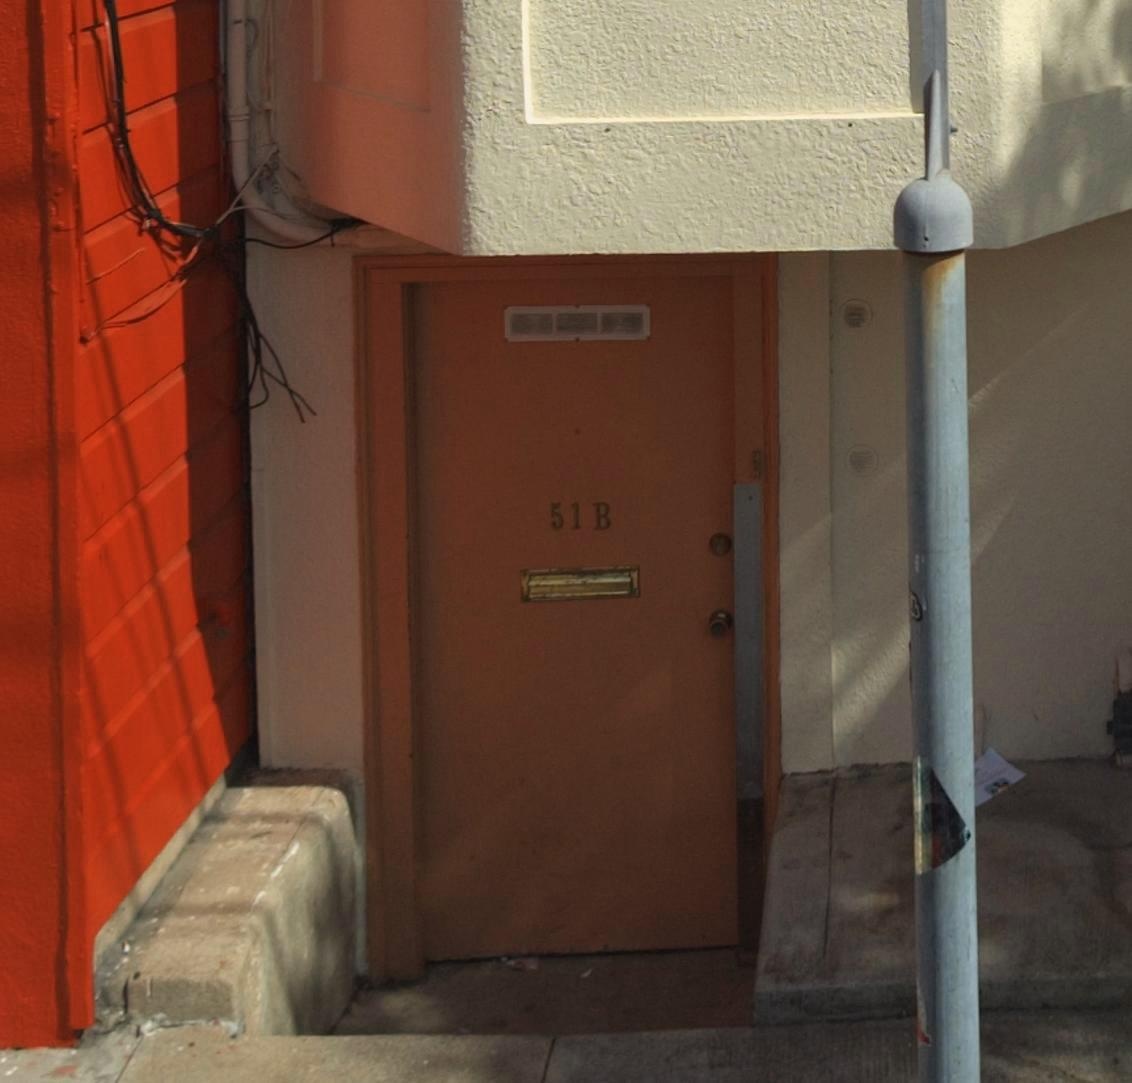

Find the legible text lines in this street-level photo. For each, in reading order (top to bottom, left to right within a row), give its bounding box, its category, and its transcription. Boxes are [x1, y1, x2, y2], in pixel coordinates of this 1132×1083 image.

[544, 497, 618, 537] StreetNumber: 51B